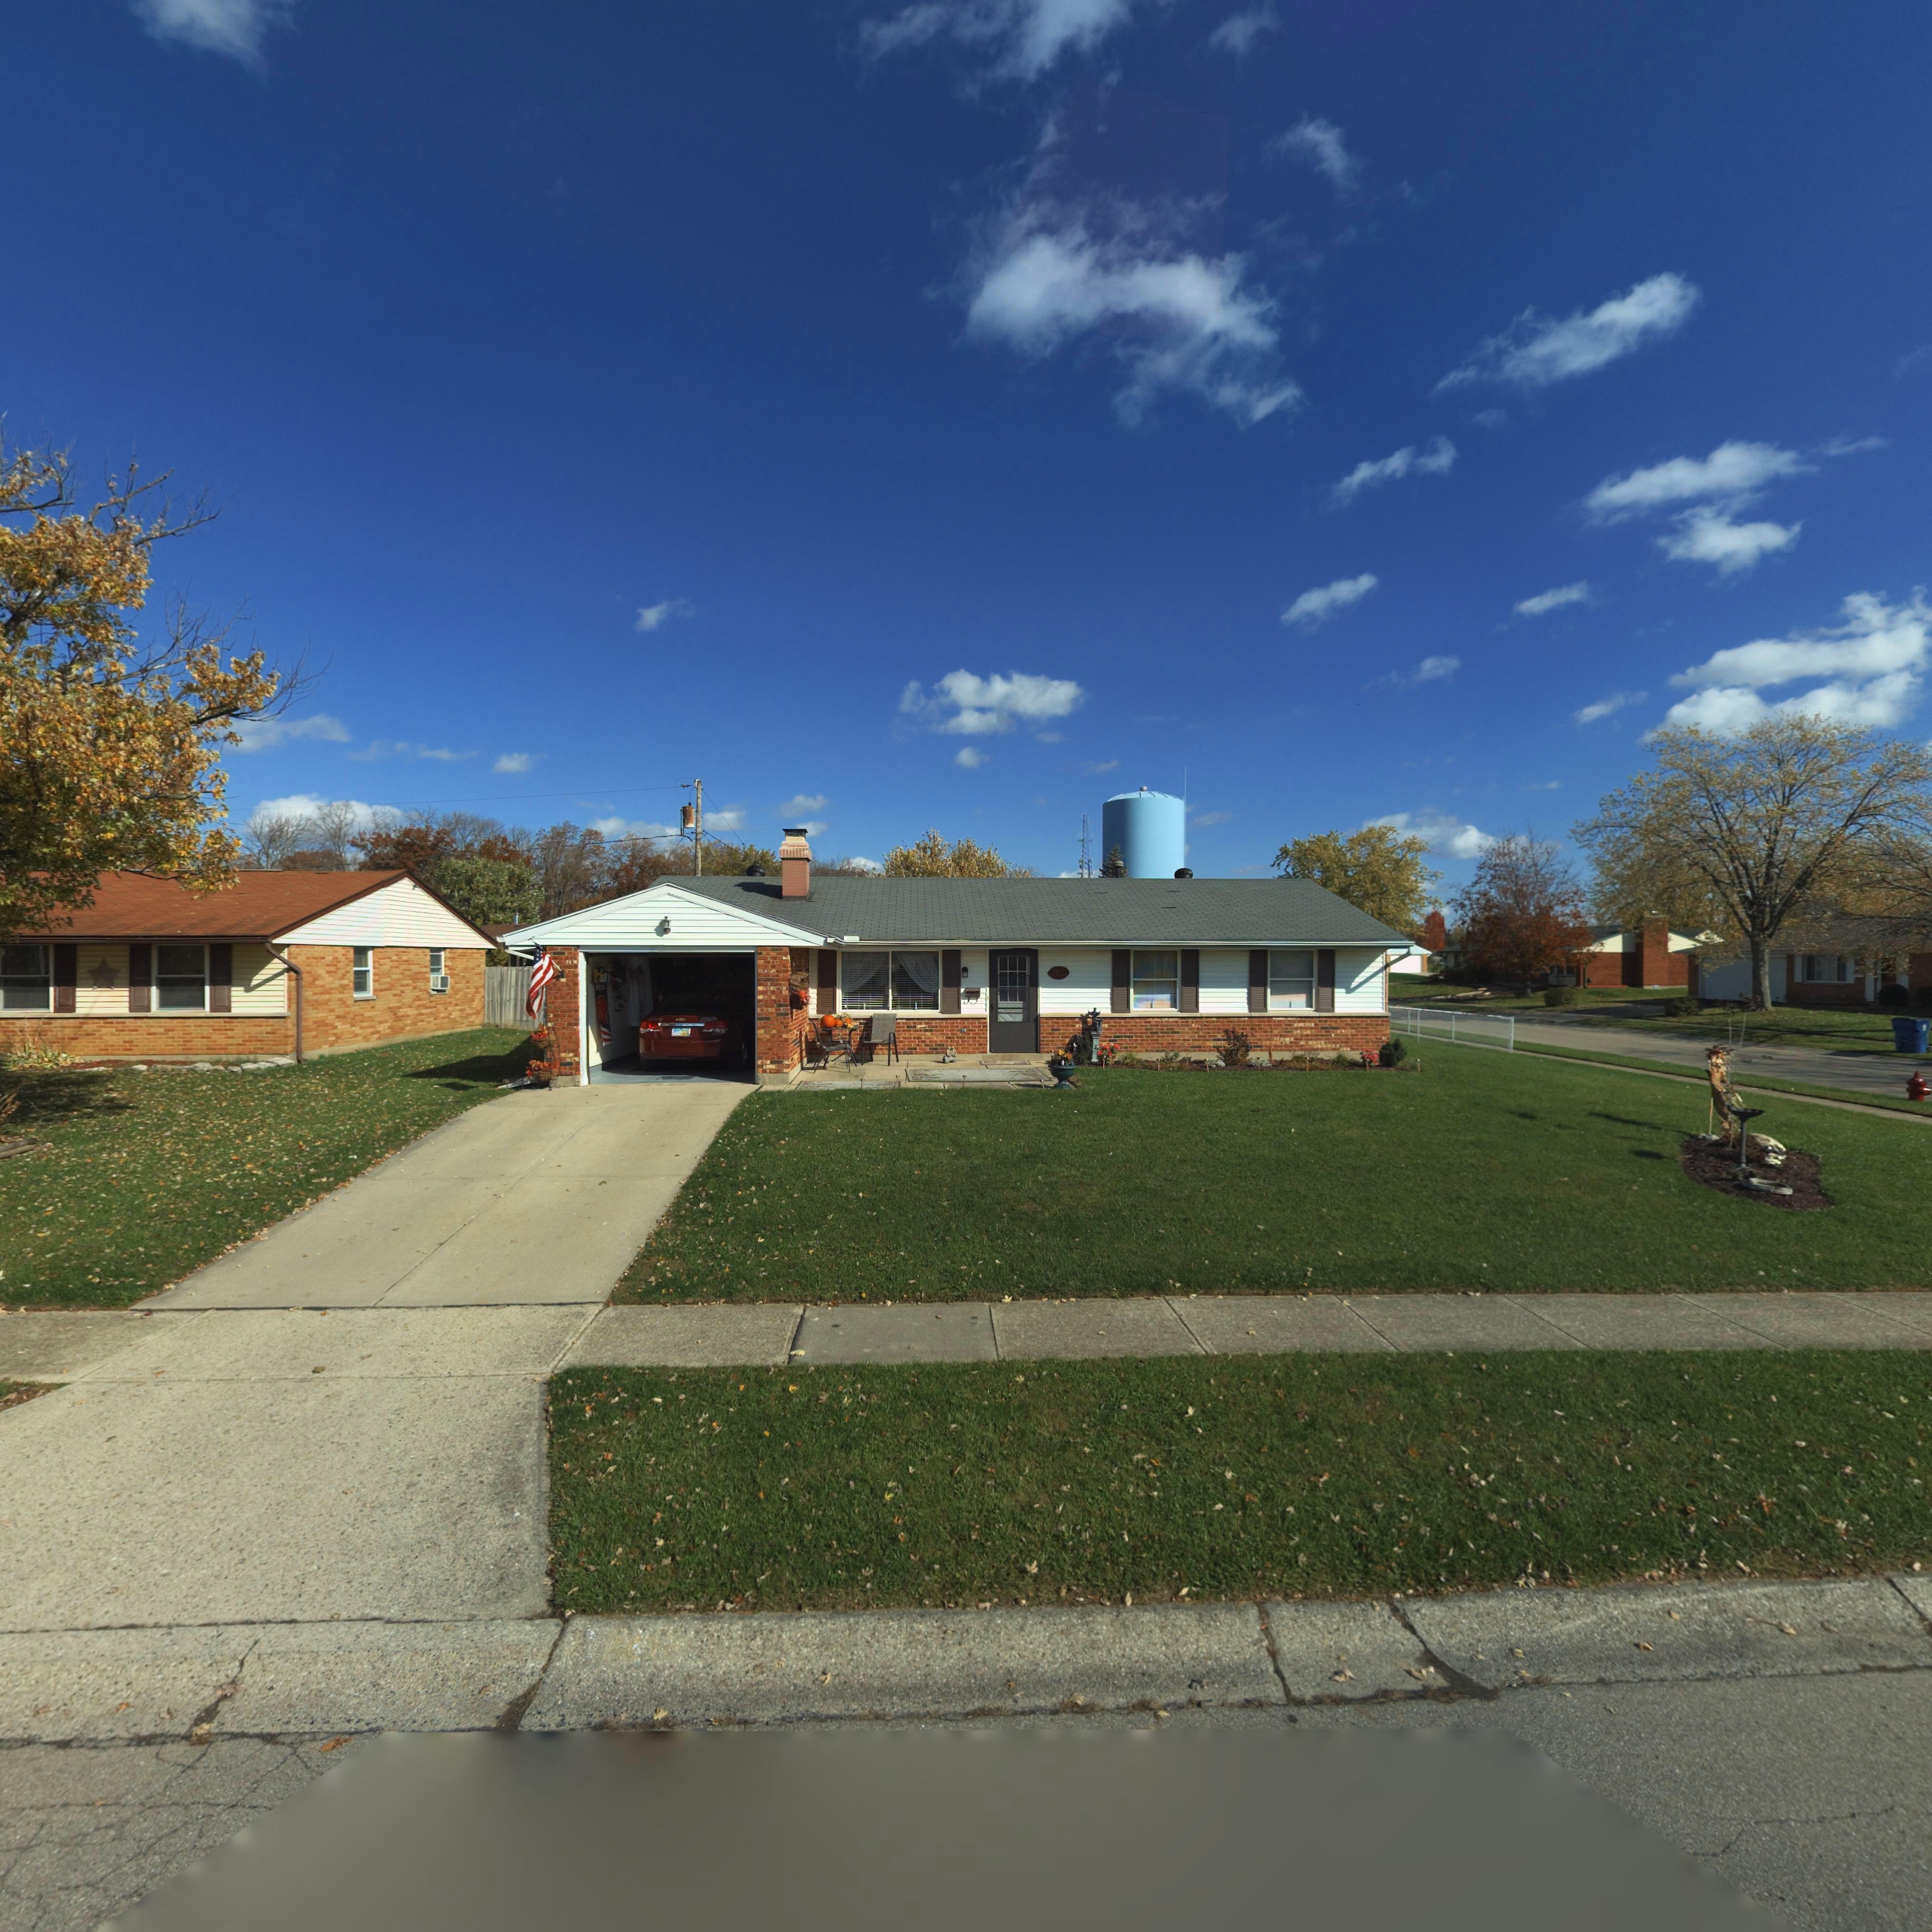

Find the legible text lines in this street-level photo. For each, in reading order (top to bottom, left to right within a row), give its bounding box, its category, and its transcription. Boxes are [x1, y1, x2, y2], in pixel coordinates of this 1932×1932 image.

[1051, 968, 1067, 977] StreetNumber: 7821